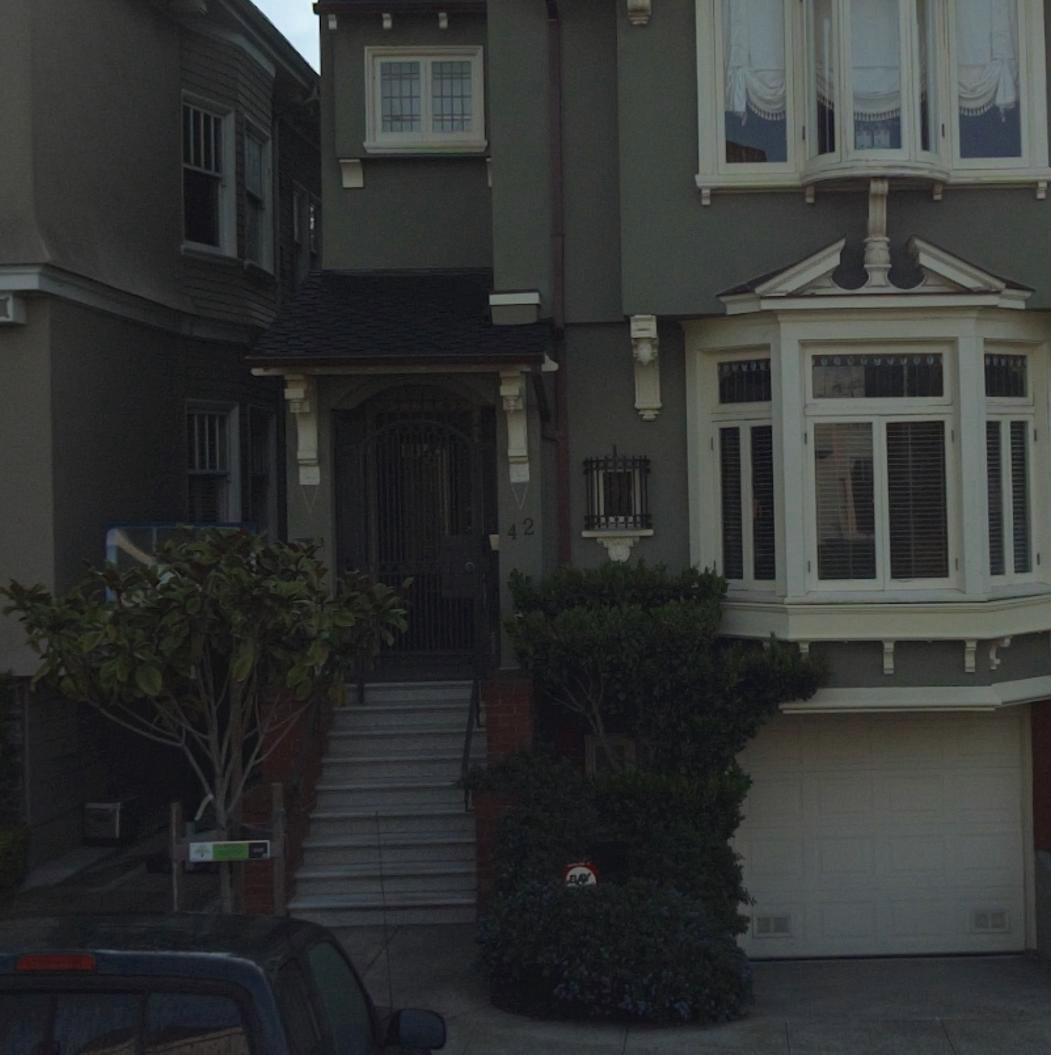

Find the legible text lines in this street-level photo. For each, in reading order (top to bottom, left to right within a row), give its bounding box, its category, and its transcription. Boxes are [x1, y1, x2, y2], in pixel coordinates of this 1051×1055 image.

[504, 516, 536, 543] StreetNumber: 42
[566, 870, 594, 886] None: BAY